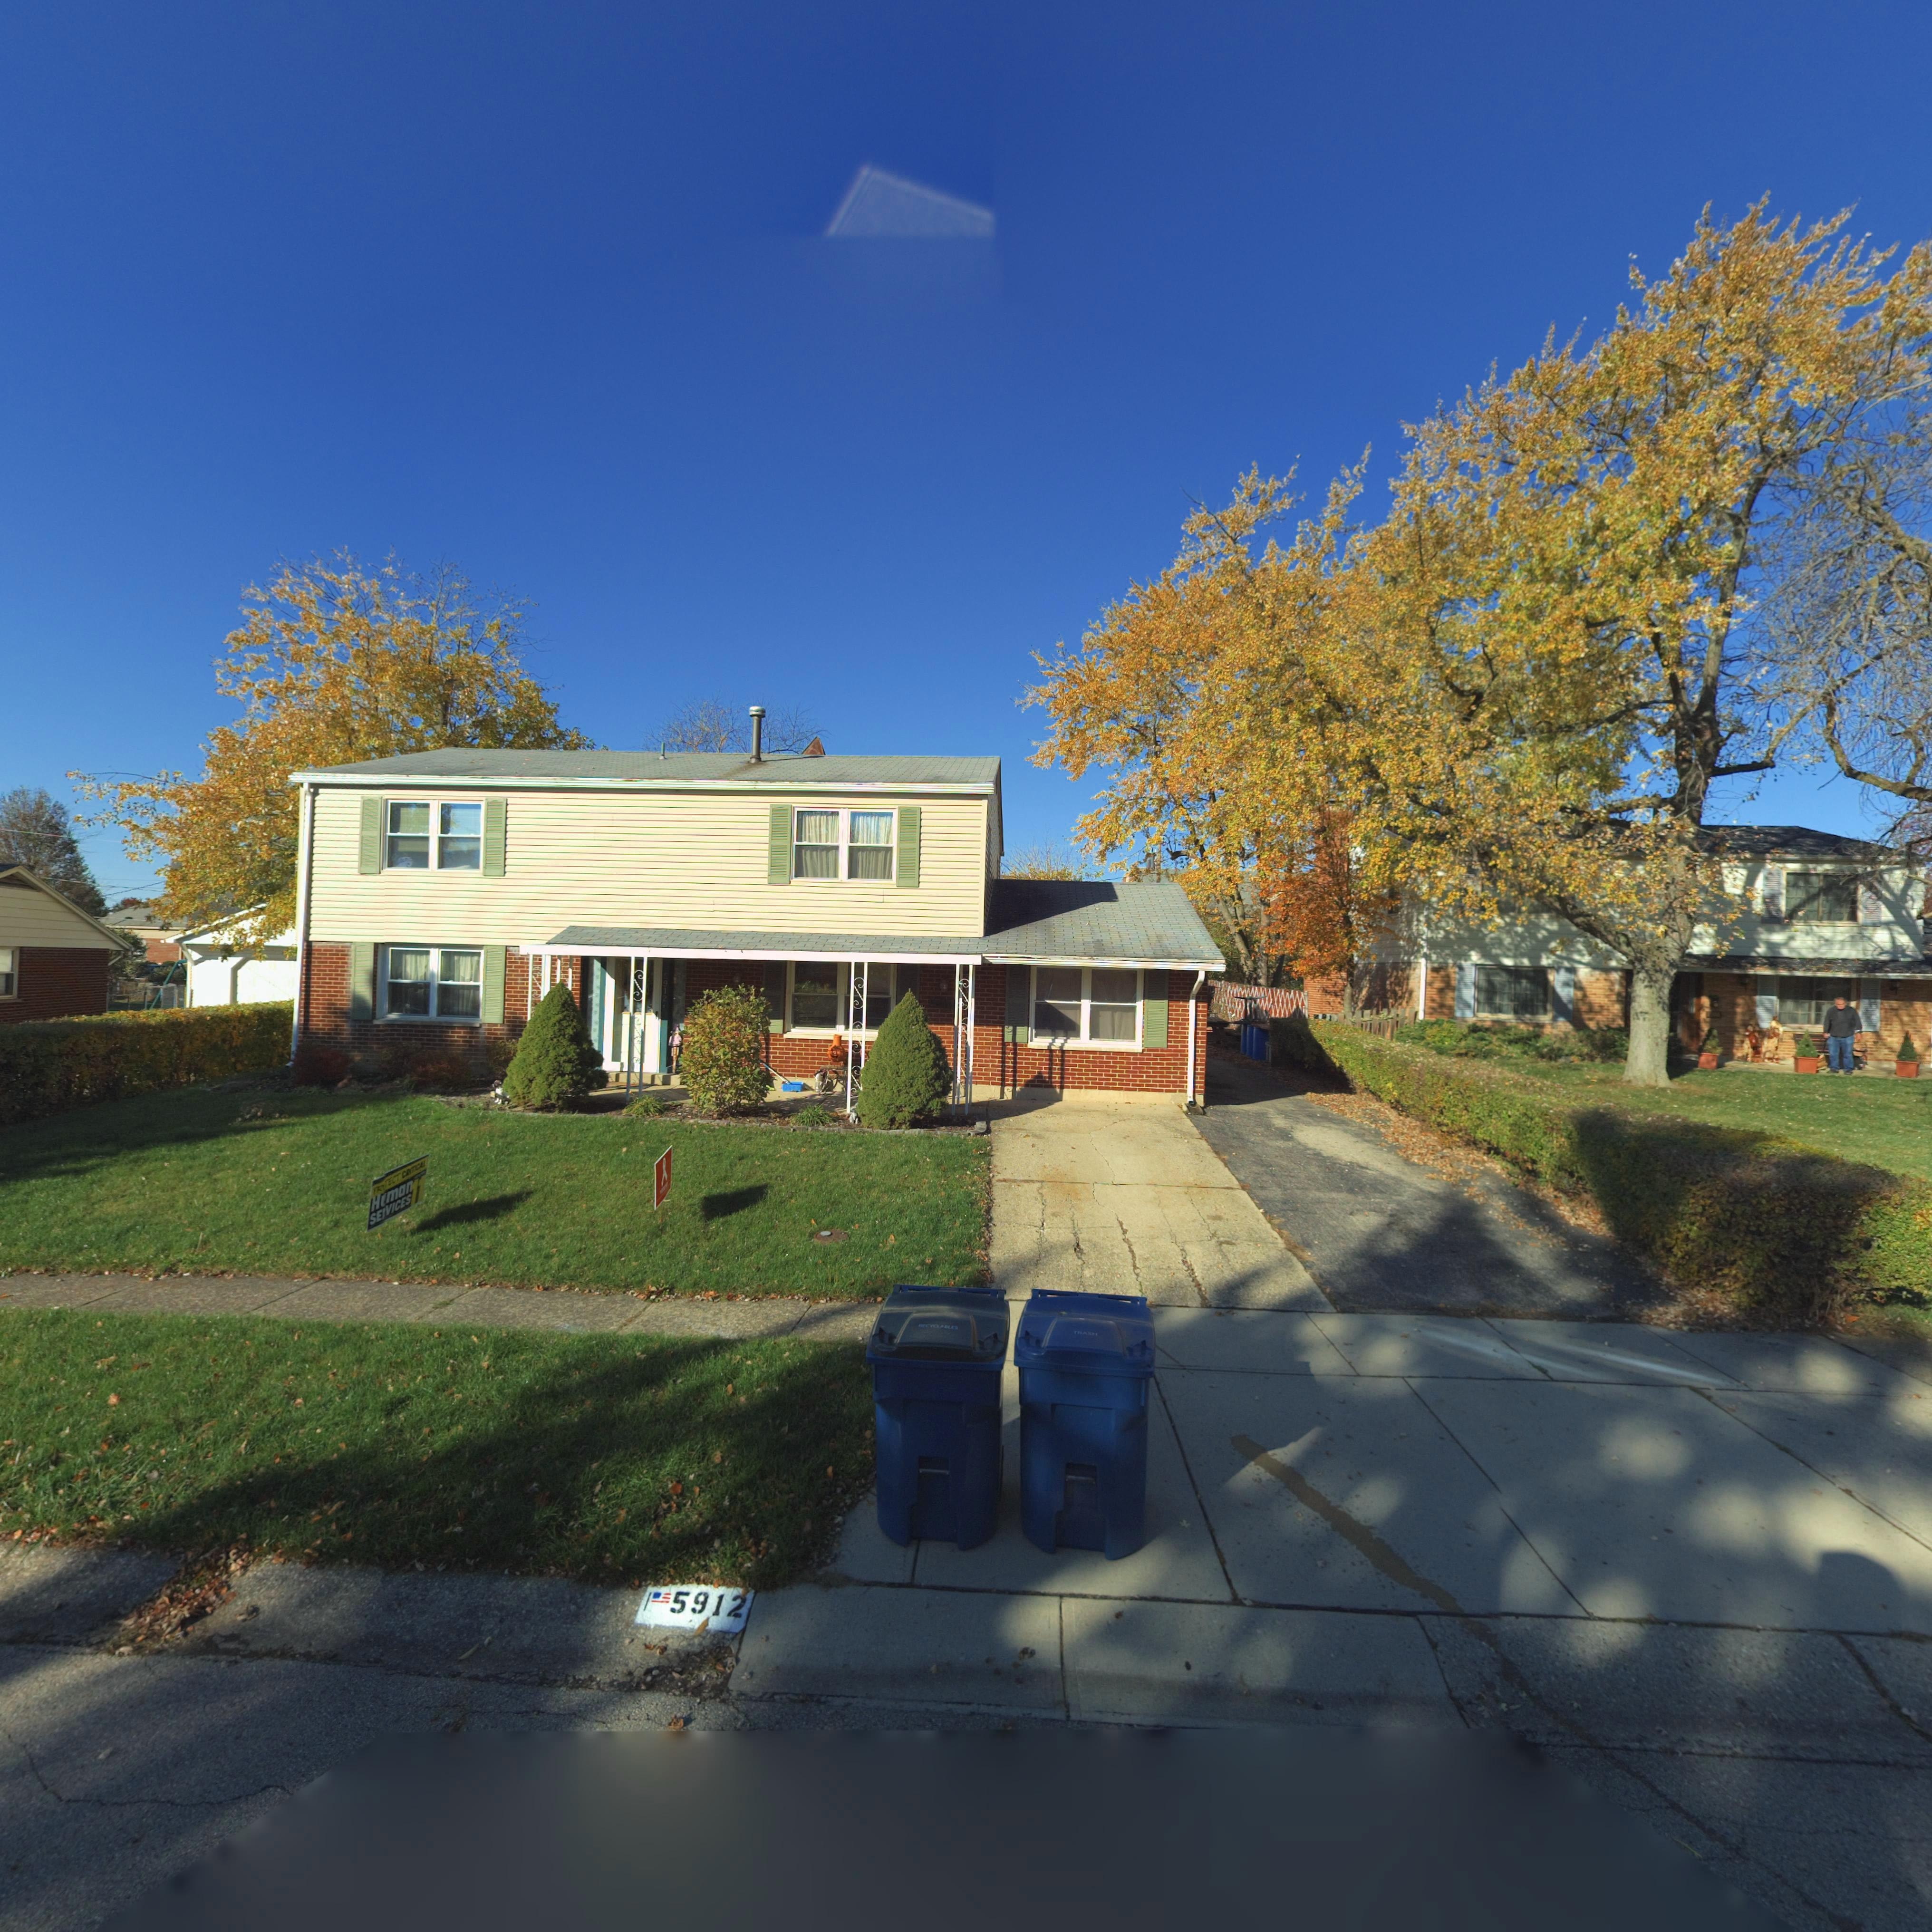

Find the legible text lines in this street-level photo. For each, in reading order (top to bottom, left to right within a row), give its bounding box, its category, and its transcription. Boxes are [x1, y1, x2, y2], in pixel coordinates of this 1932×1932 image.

[661, 972, 669, 1004] StreetNumber: 5912
[667, 1589, 749, 1621] StreetNumber: 5912